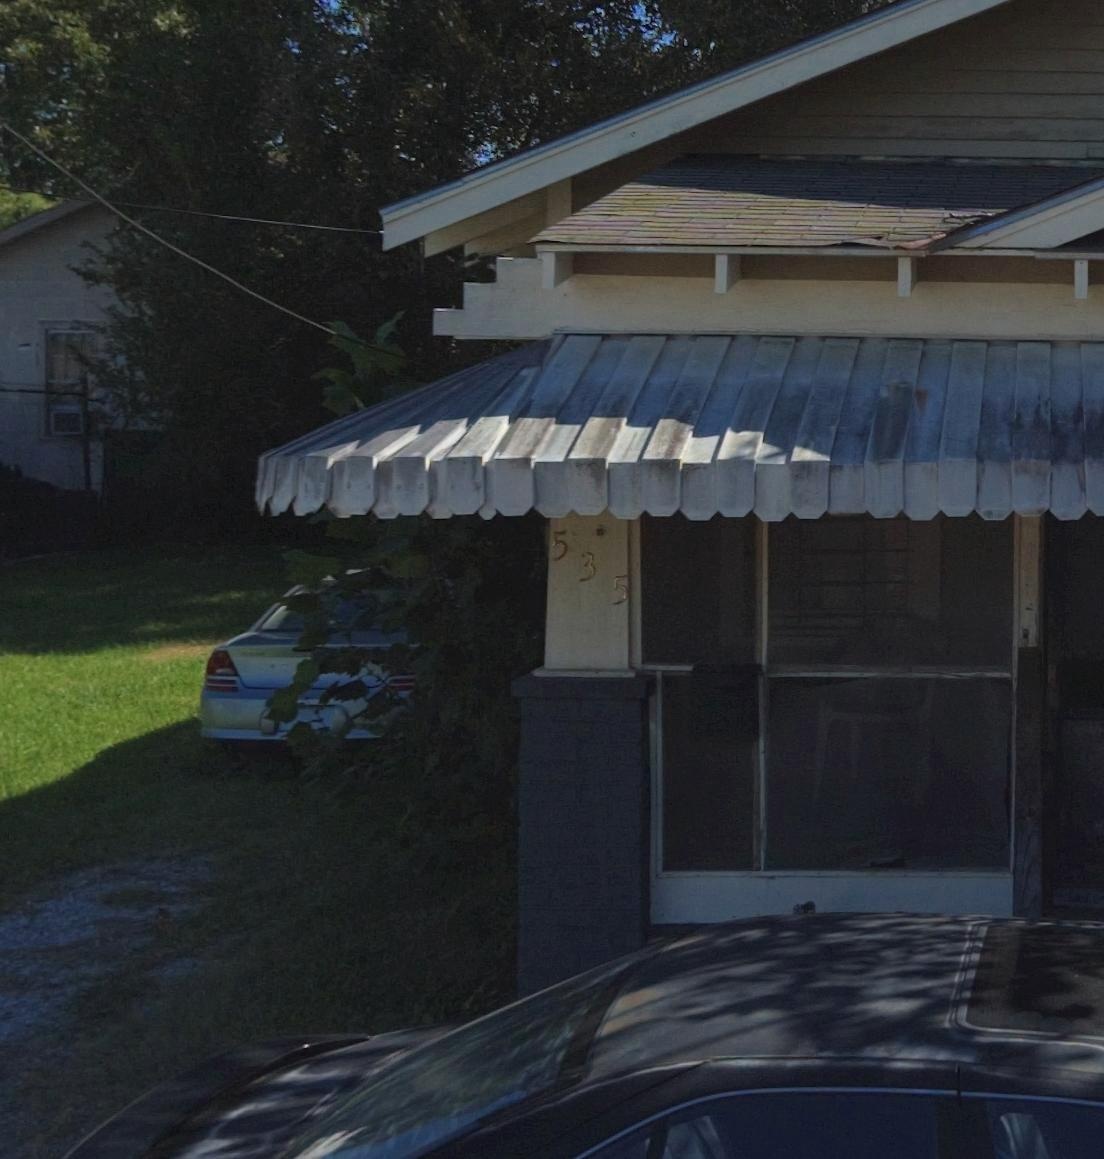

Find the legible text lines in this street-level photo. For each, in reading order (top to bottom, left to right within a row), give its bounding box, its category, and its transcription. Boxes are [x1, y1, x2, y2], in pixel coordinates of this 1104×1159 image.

[548, 528, 632, 610] StreetNumber: 535